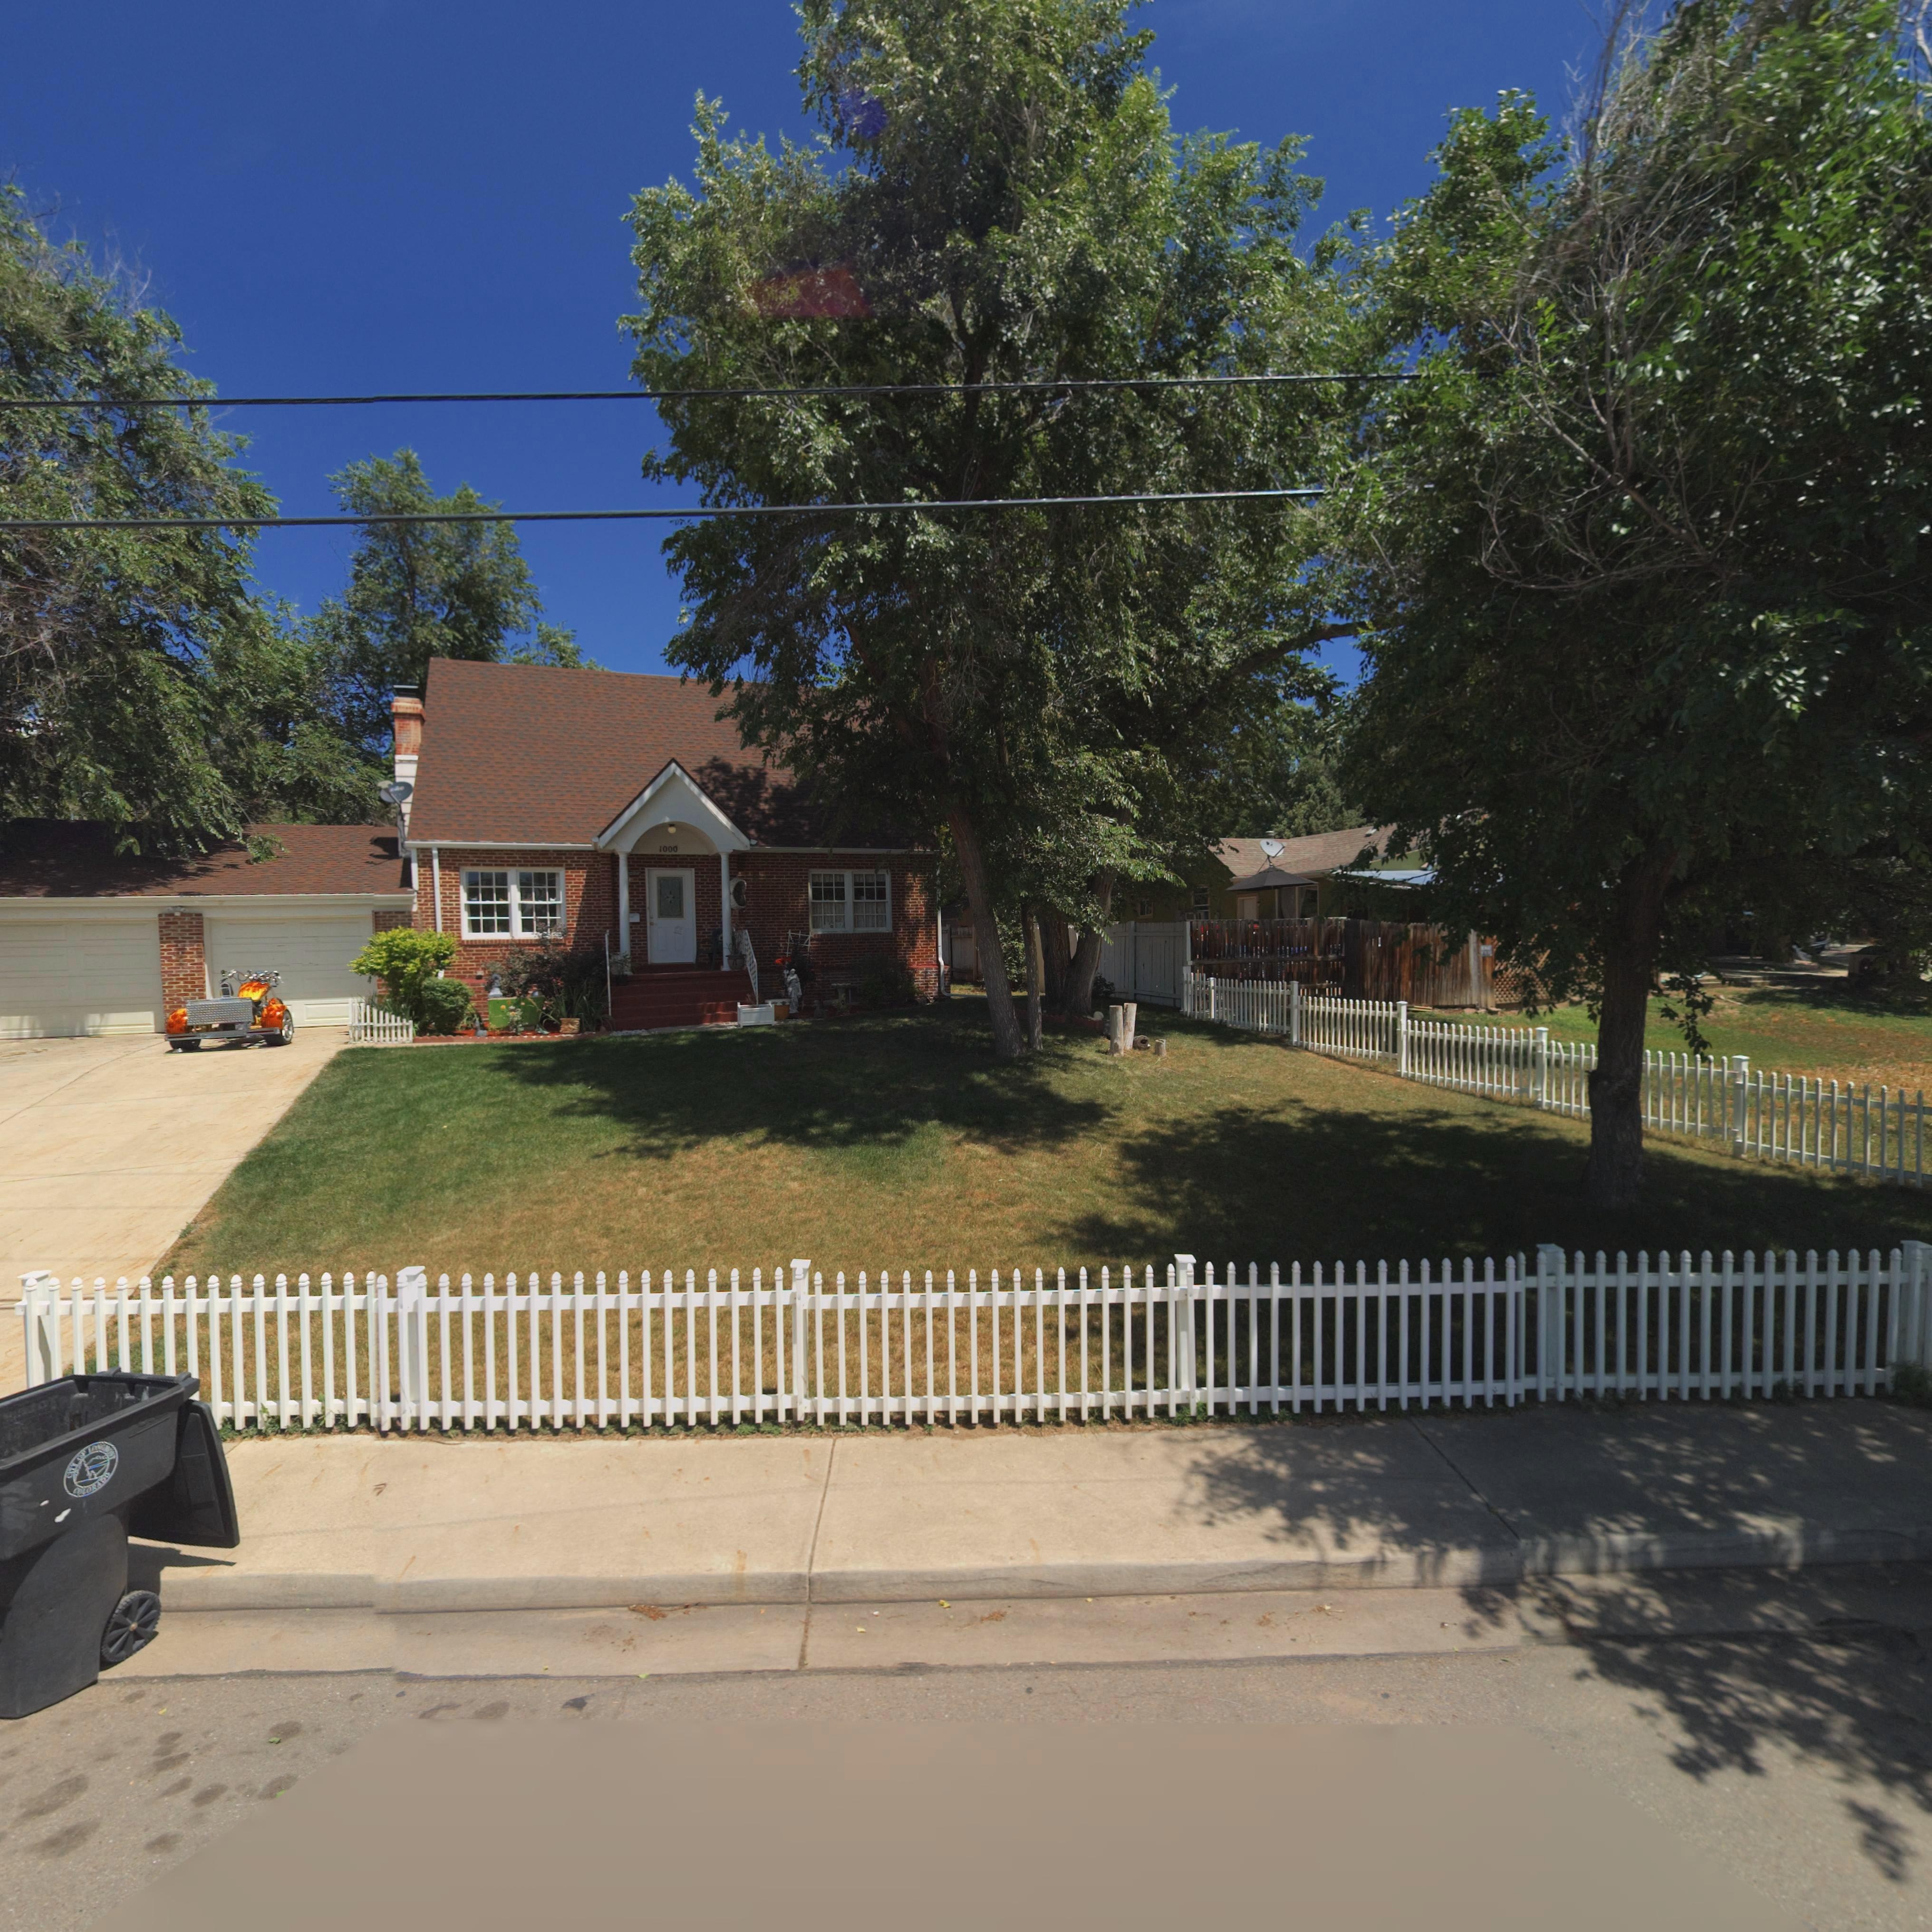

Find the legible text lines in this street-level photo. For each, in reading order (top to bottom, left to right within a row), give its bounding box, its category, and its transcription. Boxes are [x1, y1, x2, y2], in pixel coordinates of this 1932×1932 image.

[658, 845, 677, 852] StreetNumber: 1000